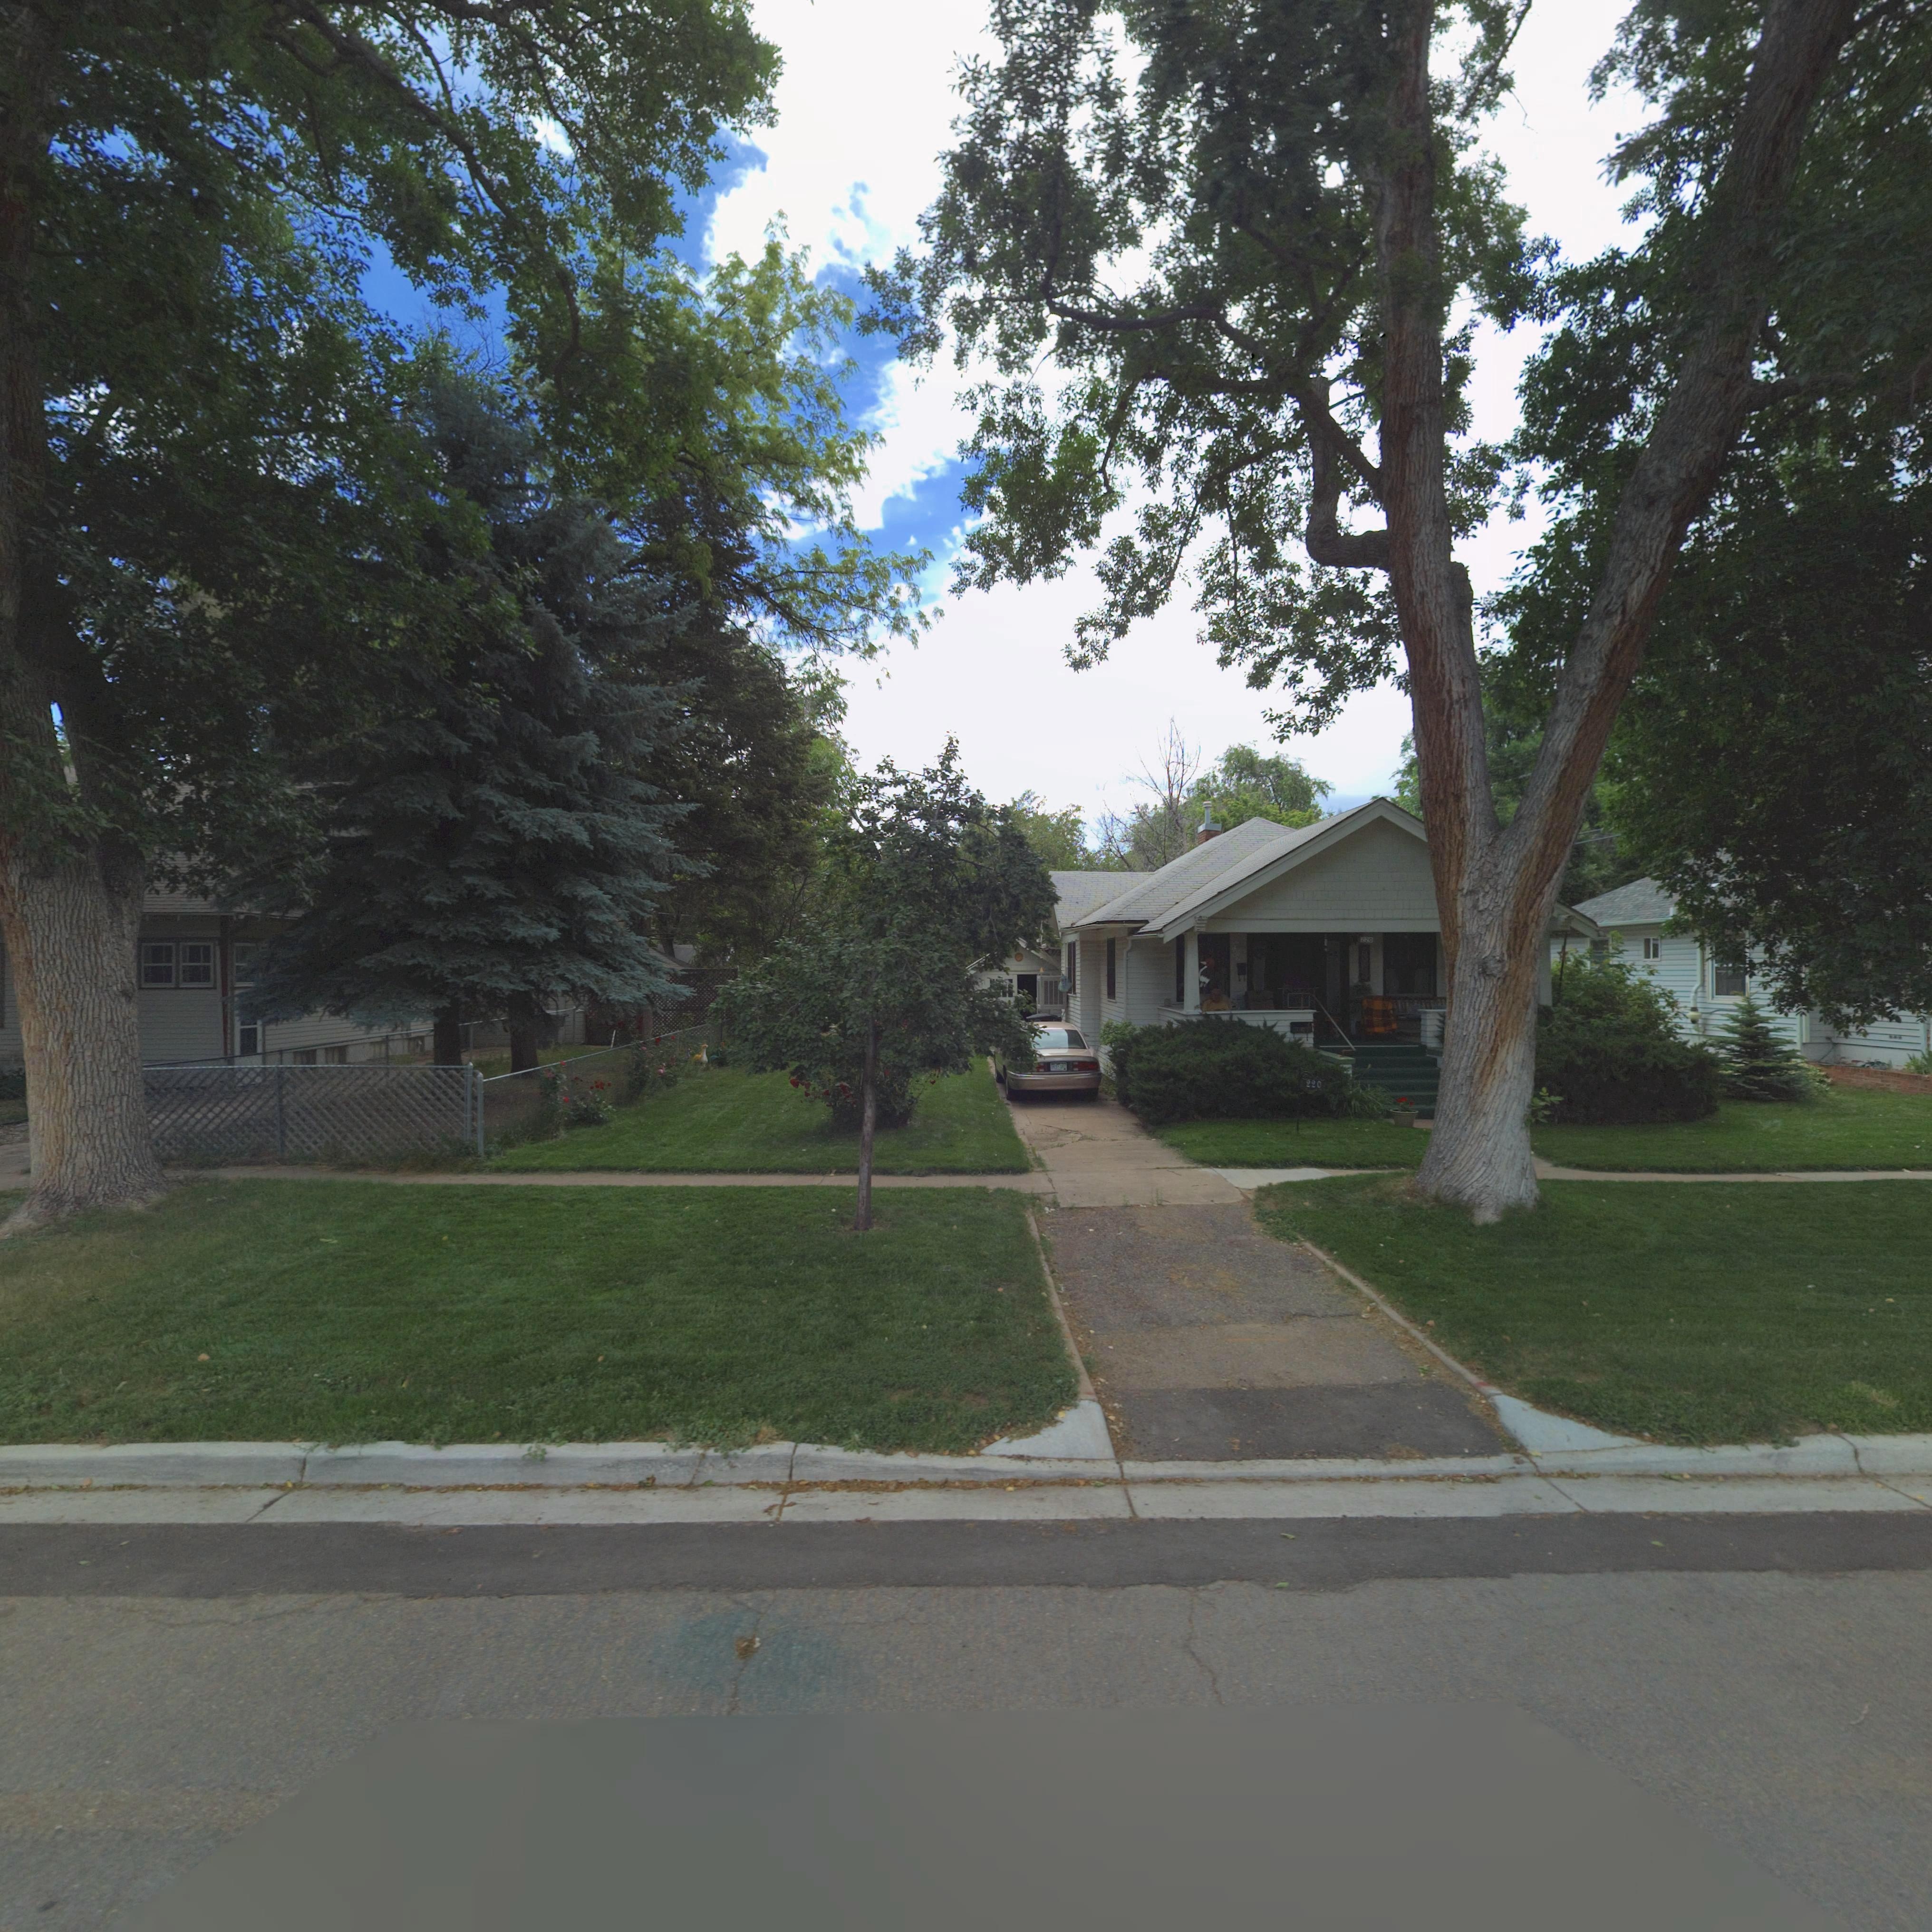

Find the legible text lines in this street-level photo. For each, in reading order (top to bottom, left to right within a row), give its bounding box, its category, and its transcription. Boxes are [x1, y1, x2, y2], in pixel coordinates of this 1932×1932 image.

[1361, 937, 1372, 942] StreetNumber: 220
[1306, 1079, 1321, 1088] StreetNumber: 220